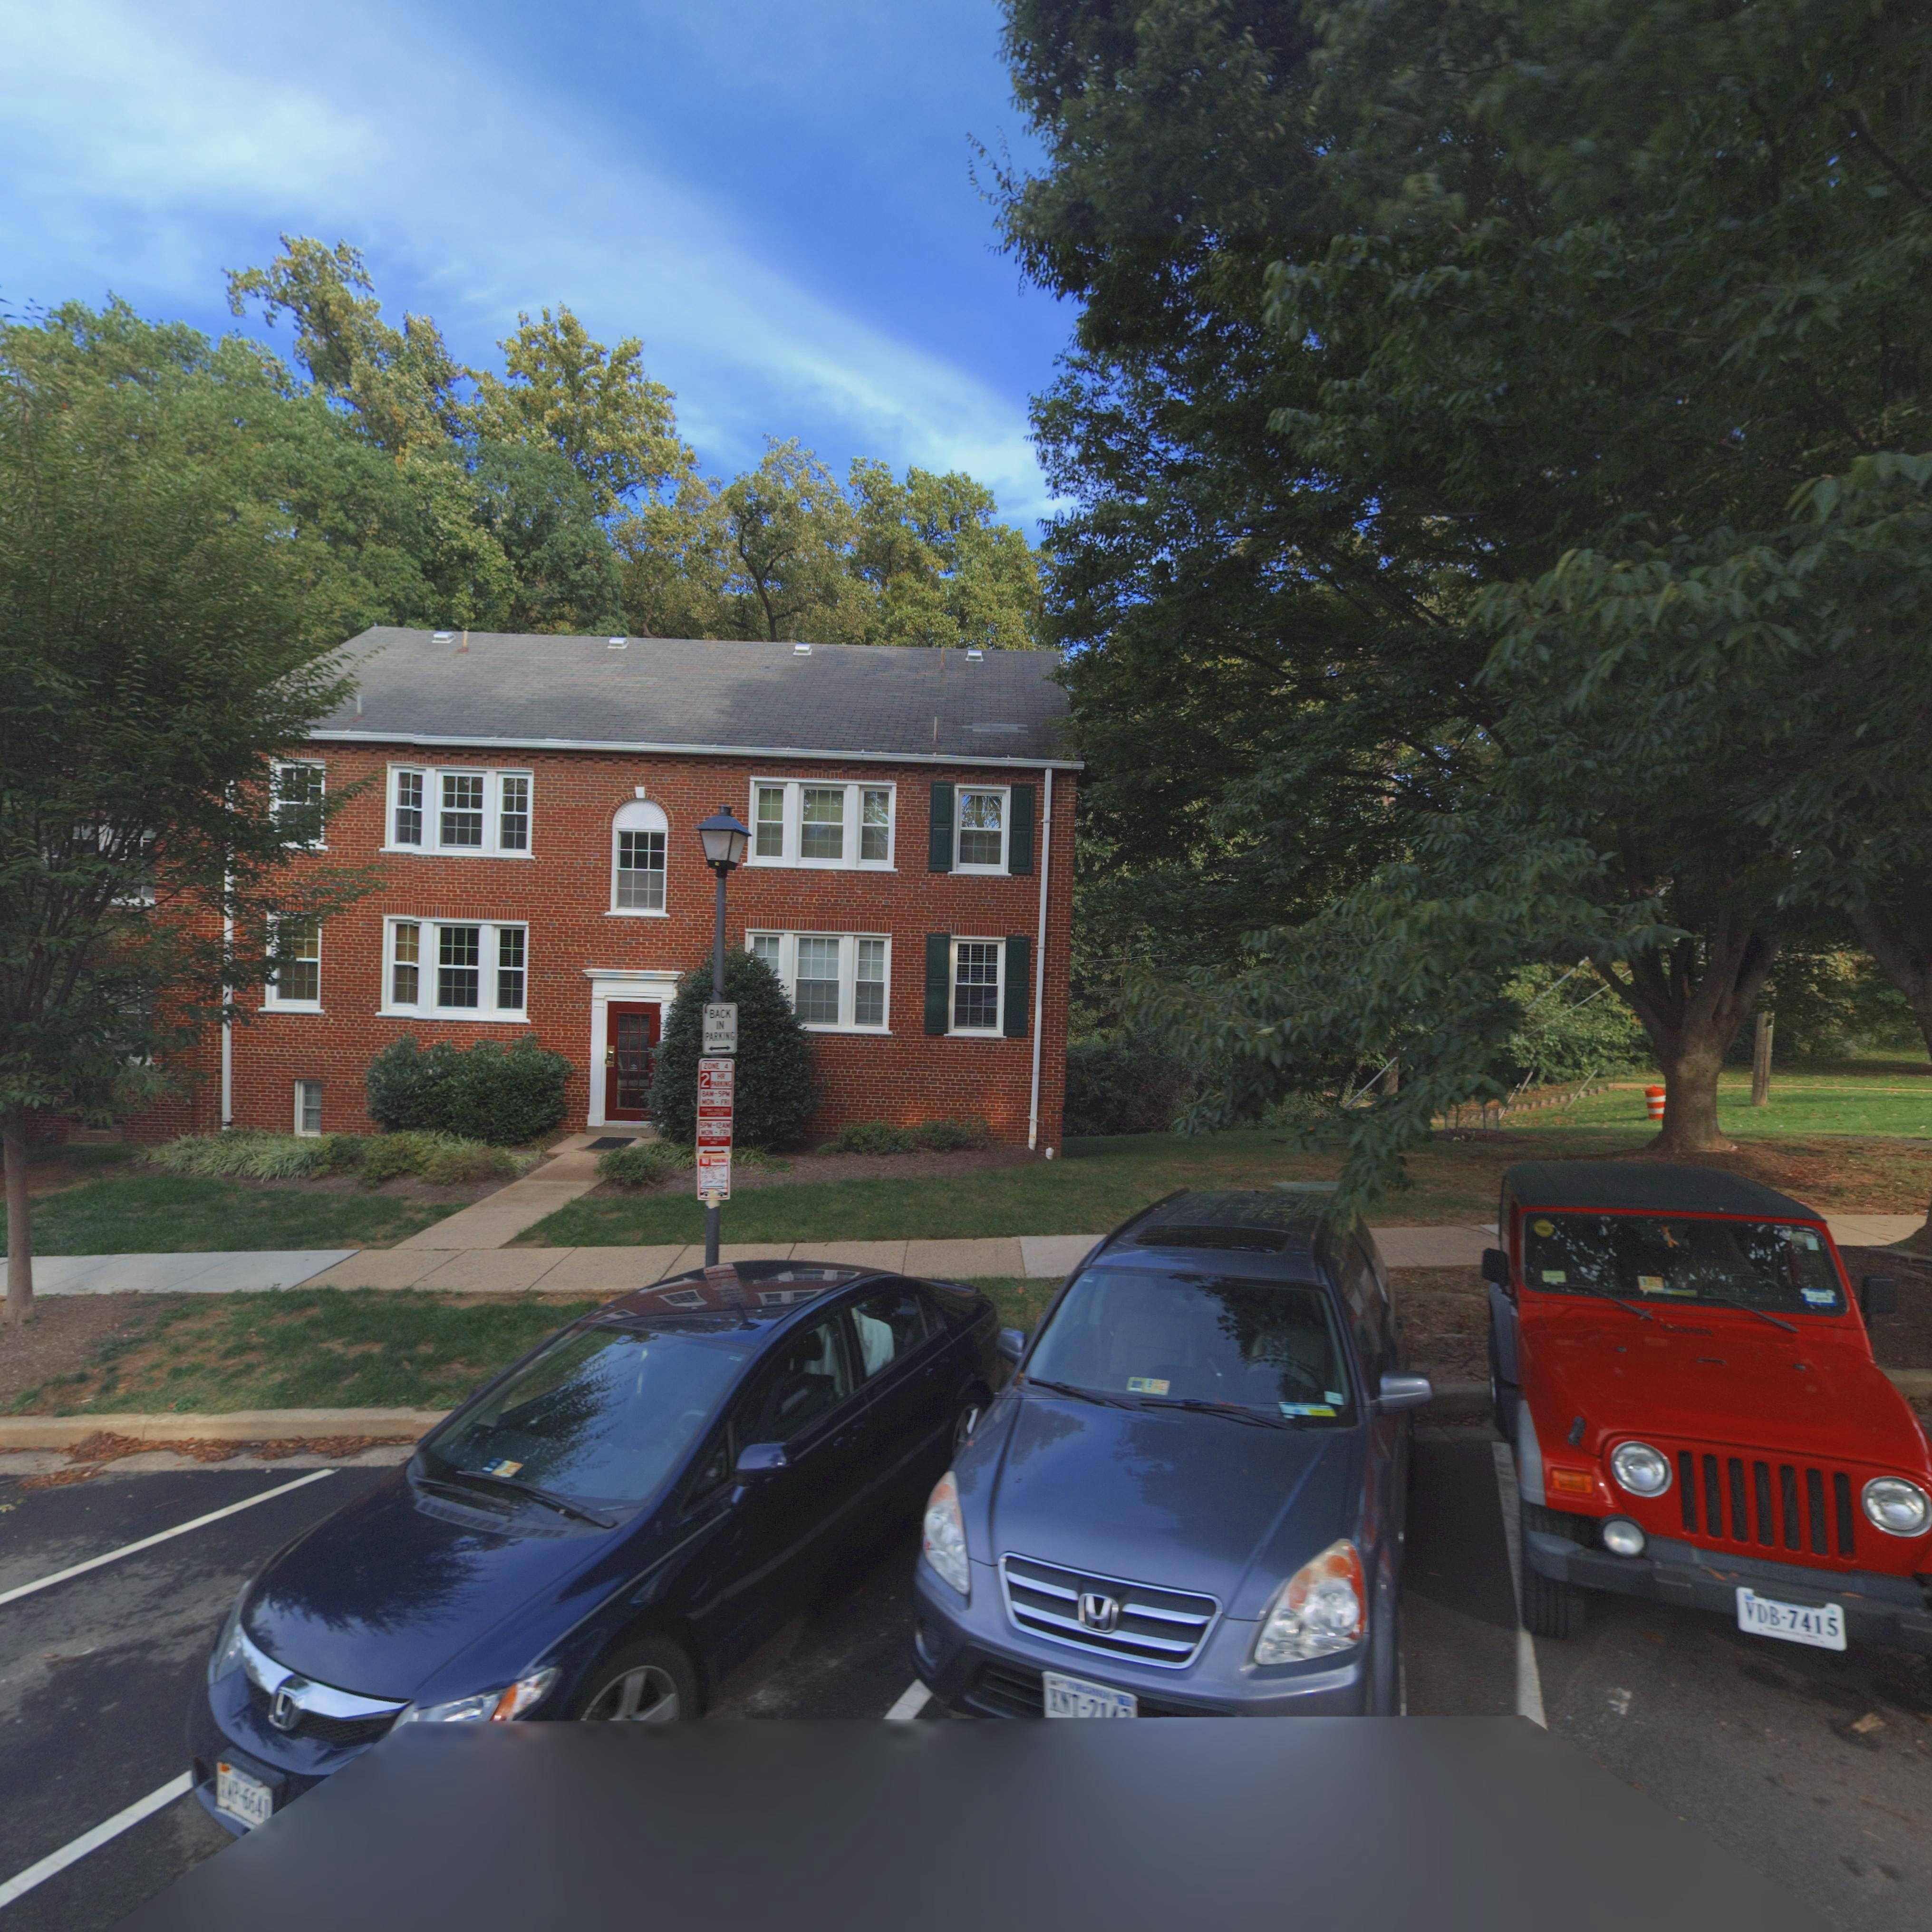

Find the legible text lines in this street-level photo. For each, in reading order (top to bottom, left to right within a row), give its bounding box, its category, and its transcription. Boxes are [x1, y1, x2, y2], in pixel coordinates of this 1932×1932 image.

[706, 1007, 733, 1021] None: BACK
[715, 1020, 726, 1032] None: IN
[703, 1030, 736, 1043] None: PARKING
[701, 1062, 730, 1070] None: ZONE 4
[698, 1071, 712, 1089] None: 2
[716, 1072, 726, 1081] None: HR
[709, 1080, 733, 1089] None: P*****G
[700, 1089, 731, 1099] None: 8AM-5PM
[701, 1098, 731, 1107] None: MON - FRI
[698, 1120, 731, 1130] None: 5PM-12AM
[700, 1129, 730, 1137] None: MON -  FRI
[1743, 1597, 1844, 1643] None: VDB-7415
[239, 1784, 272, 1826] None: 6641